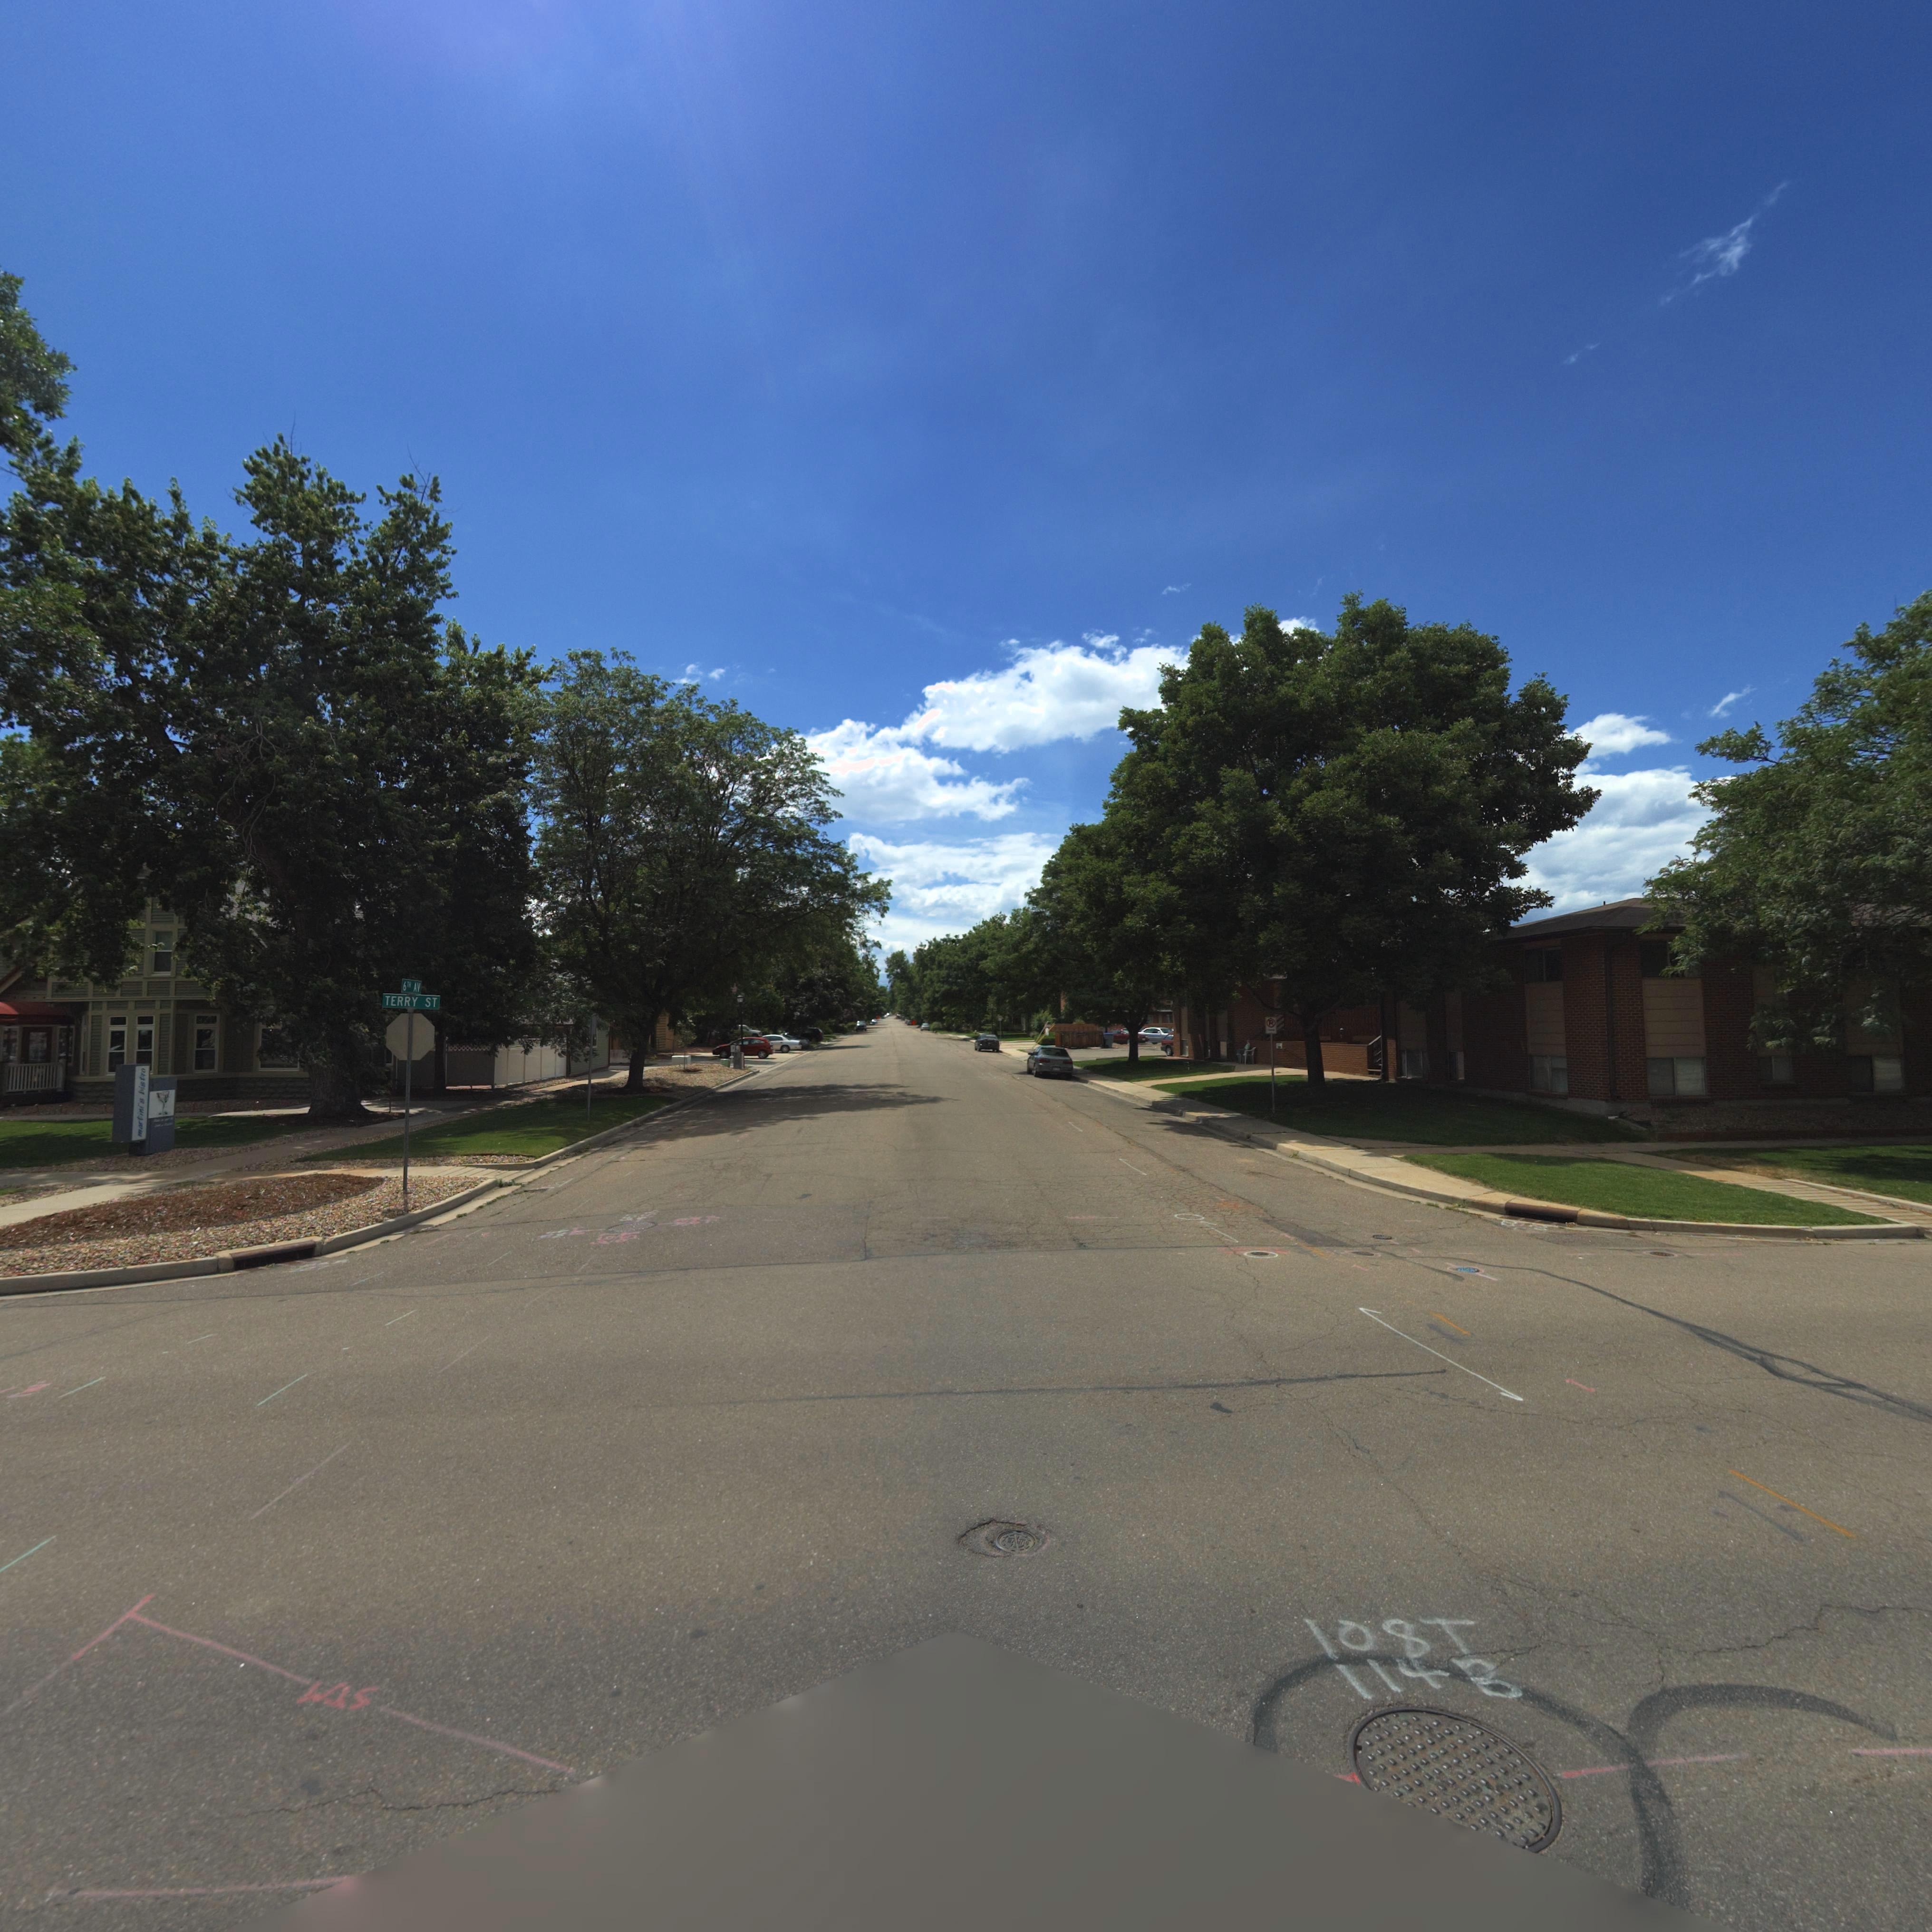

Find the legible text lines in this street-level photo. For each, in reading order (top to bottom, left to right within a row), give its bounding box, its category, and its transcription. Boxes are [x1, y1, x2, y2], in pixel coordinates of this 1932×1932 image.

[402, 980, 421, 992] StreetName: 6TH AV
[385, 995, 437, 1007] StreetName: TERRY ST